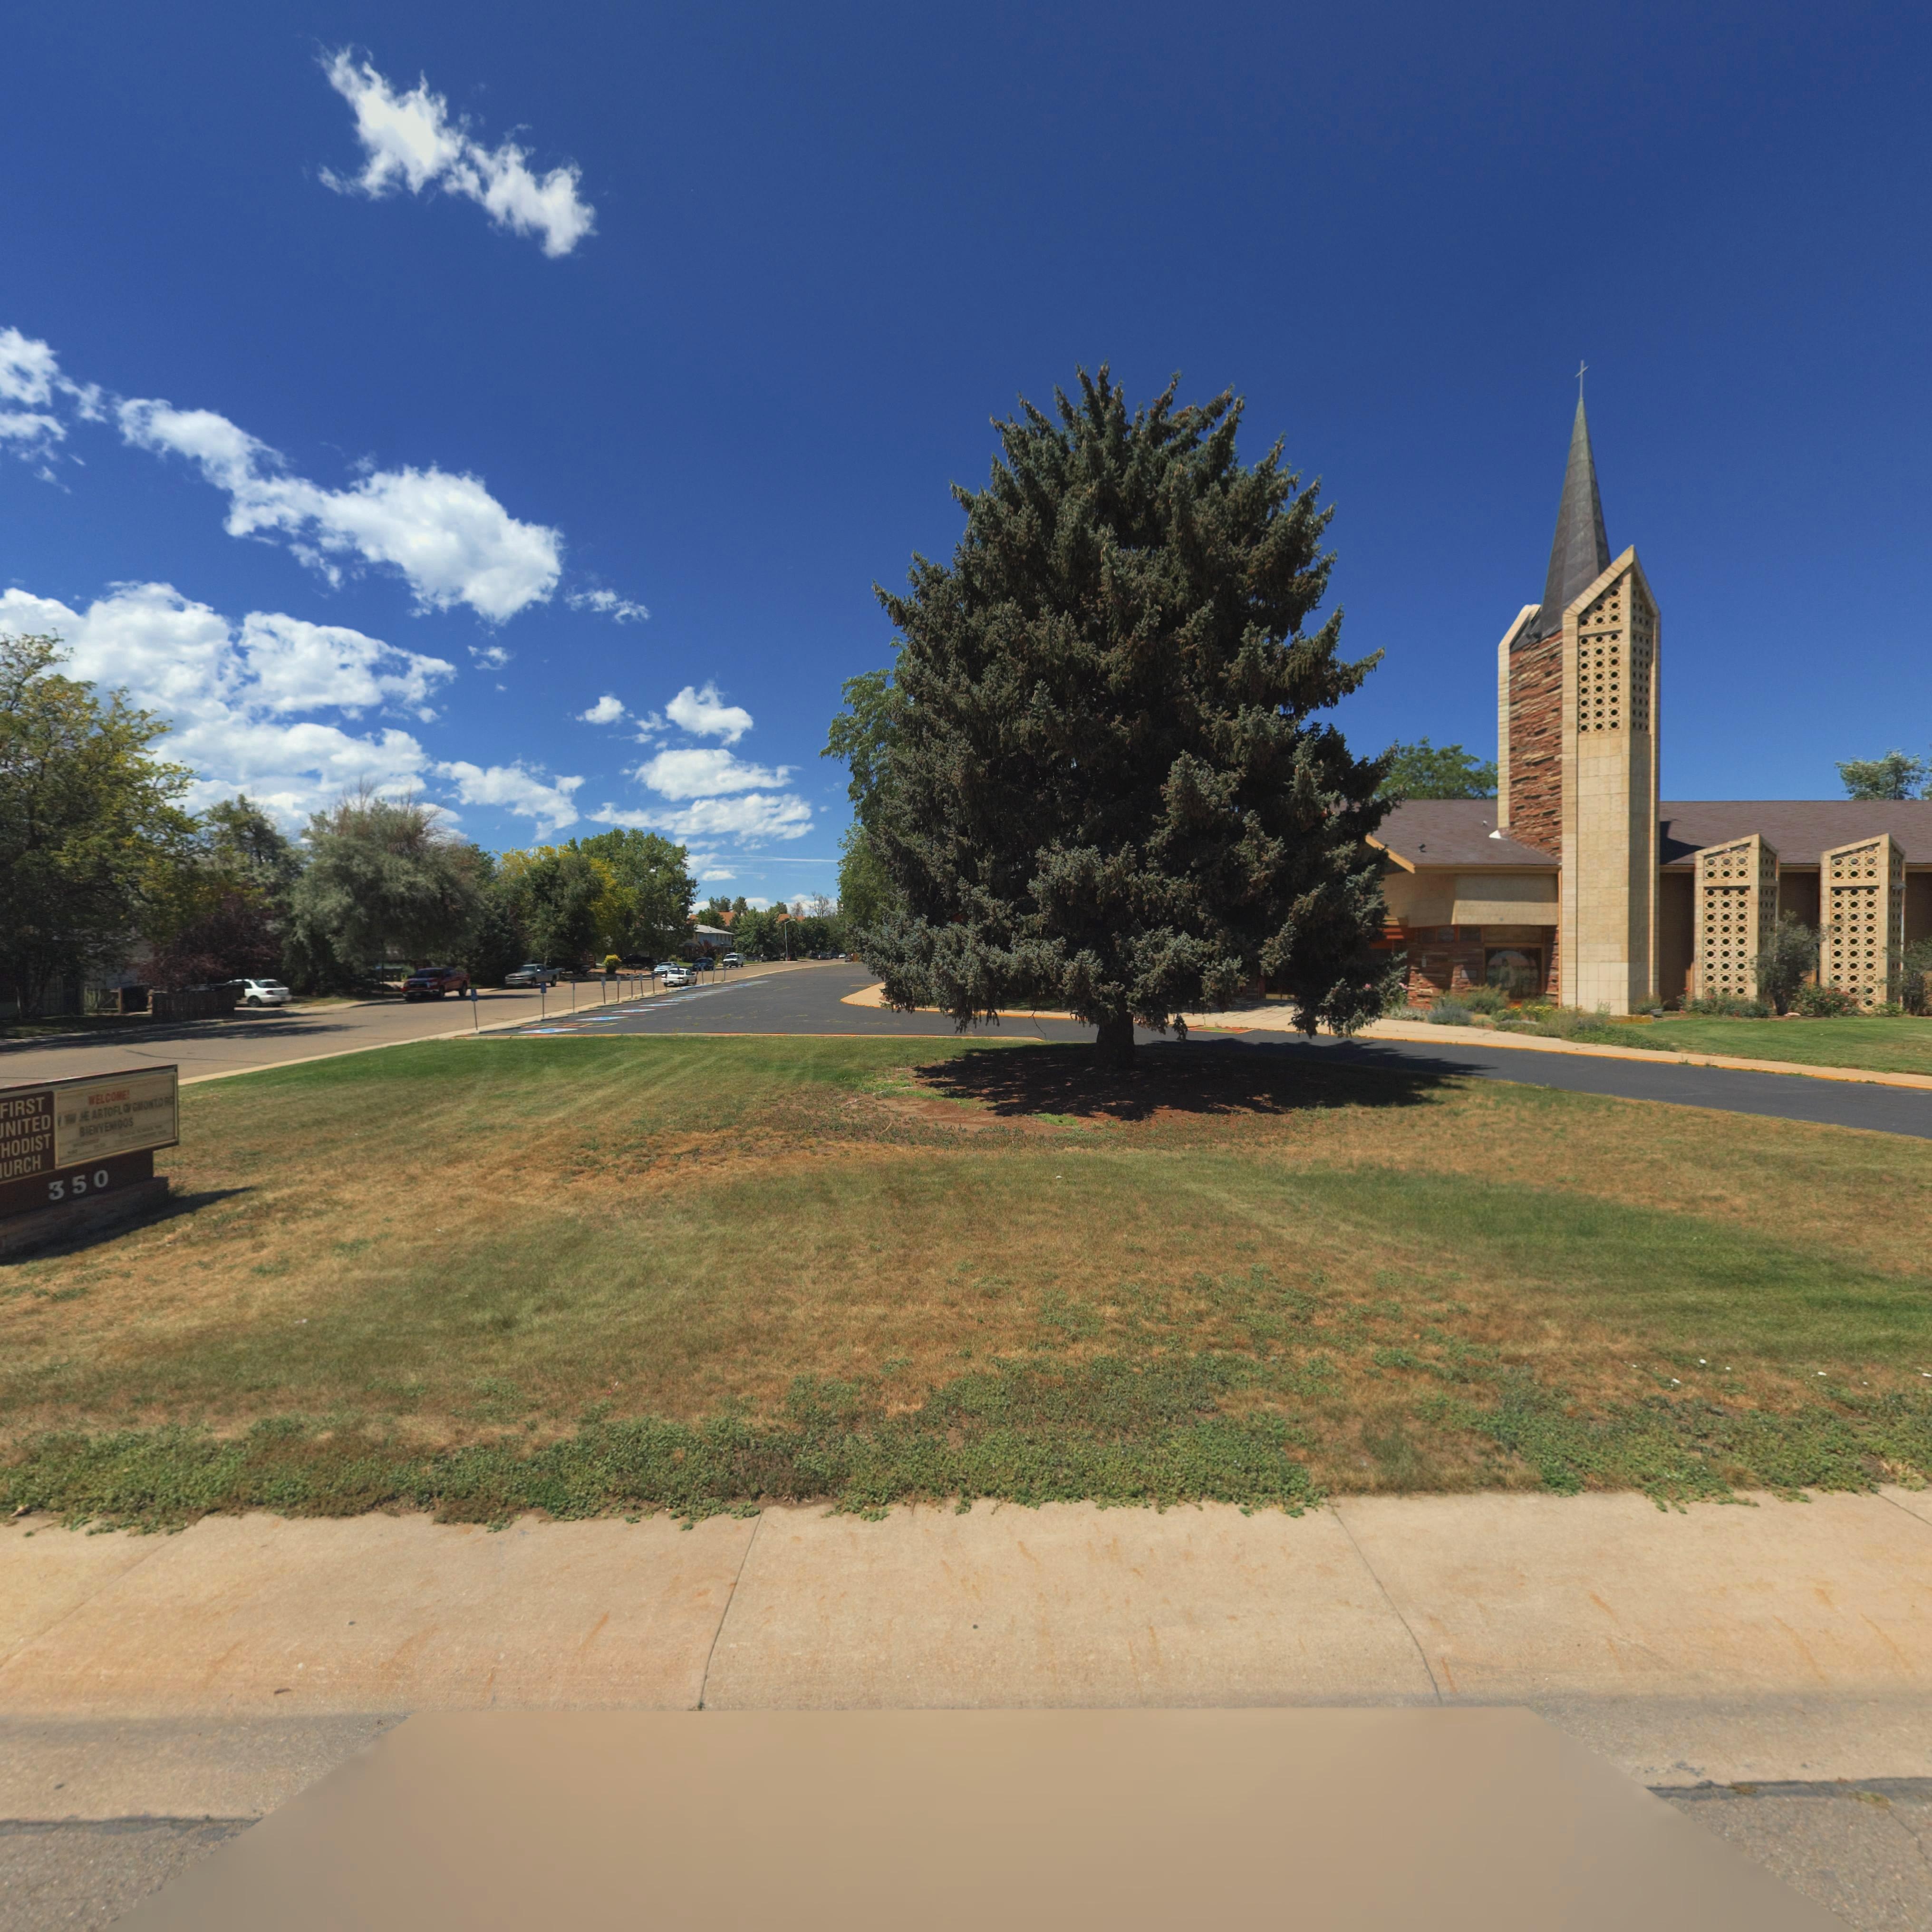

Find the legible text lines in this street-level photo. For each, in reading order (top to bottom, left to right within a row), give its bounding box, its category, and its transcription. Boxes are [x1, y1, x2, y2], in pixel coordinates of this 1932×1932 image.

[9, 1096, 45, 1118] BusinessName: IRST
[5, 1114, 52, 1138] BusinessName: NITED
[0, 1132, 52, 1159] BusinessName: HODIST
[3, 1154, 41, 1178] BusinessName: URCH
[48, 1169, 109, 1201] StreetNumber: 350